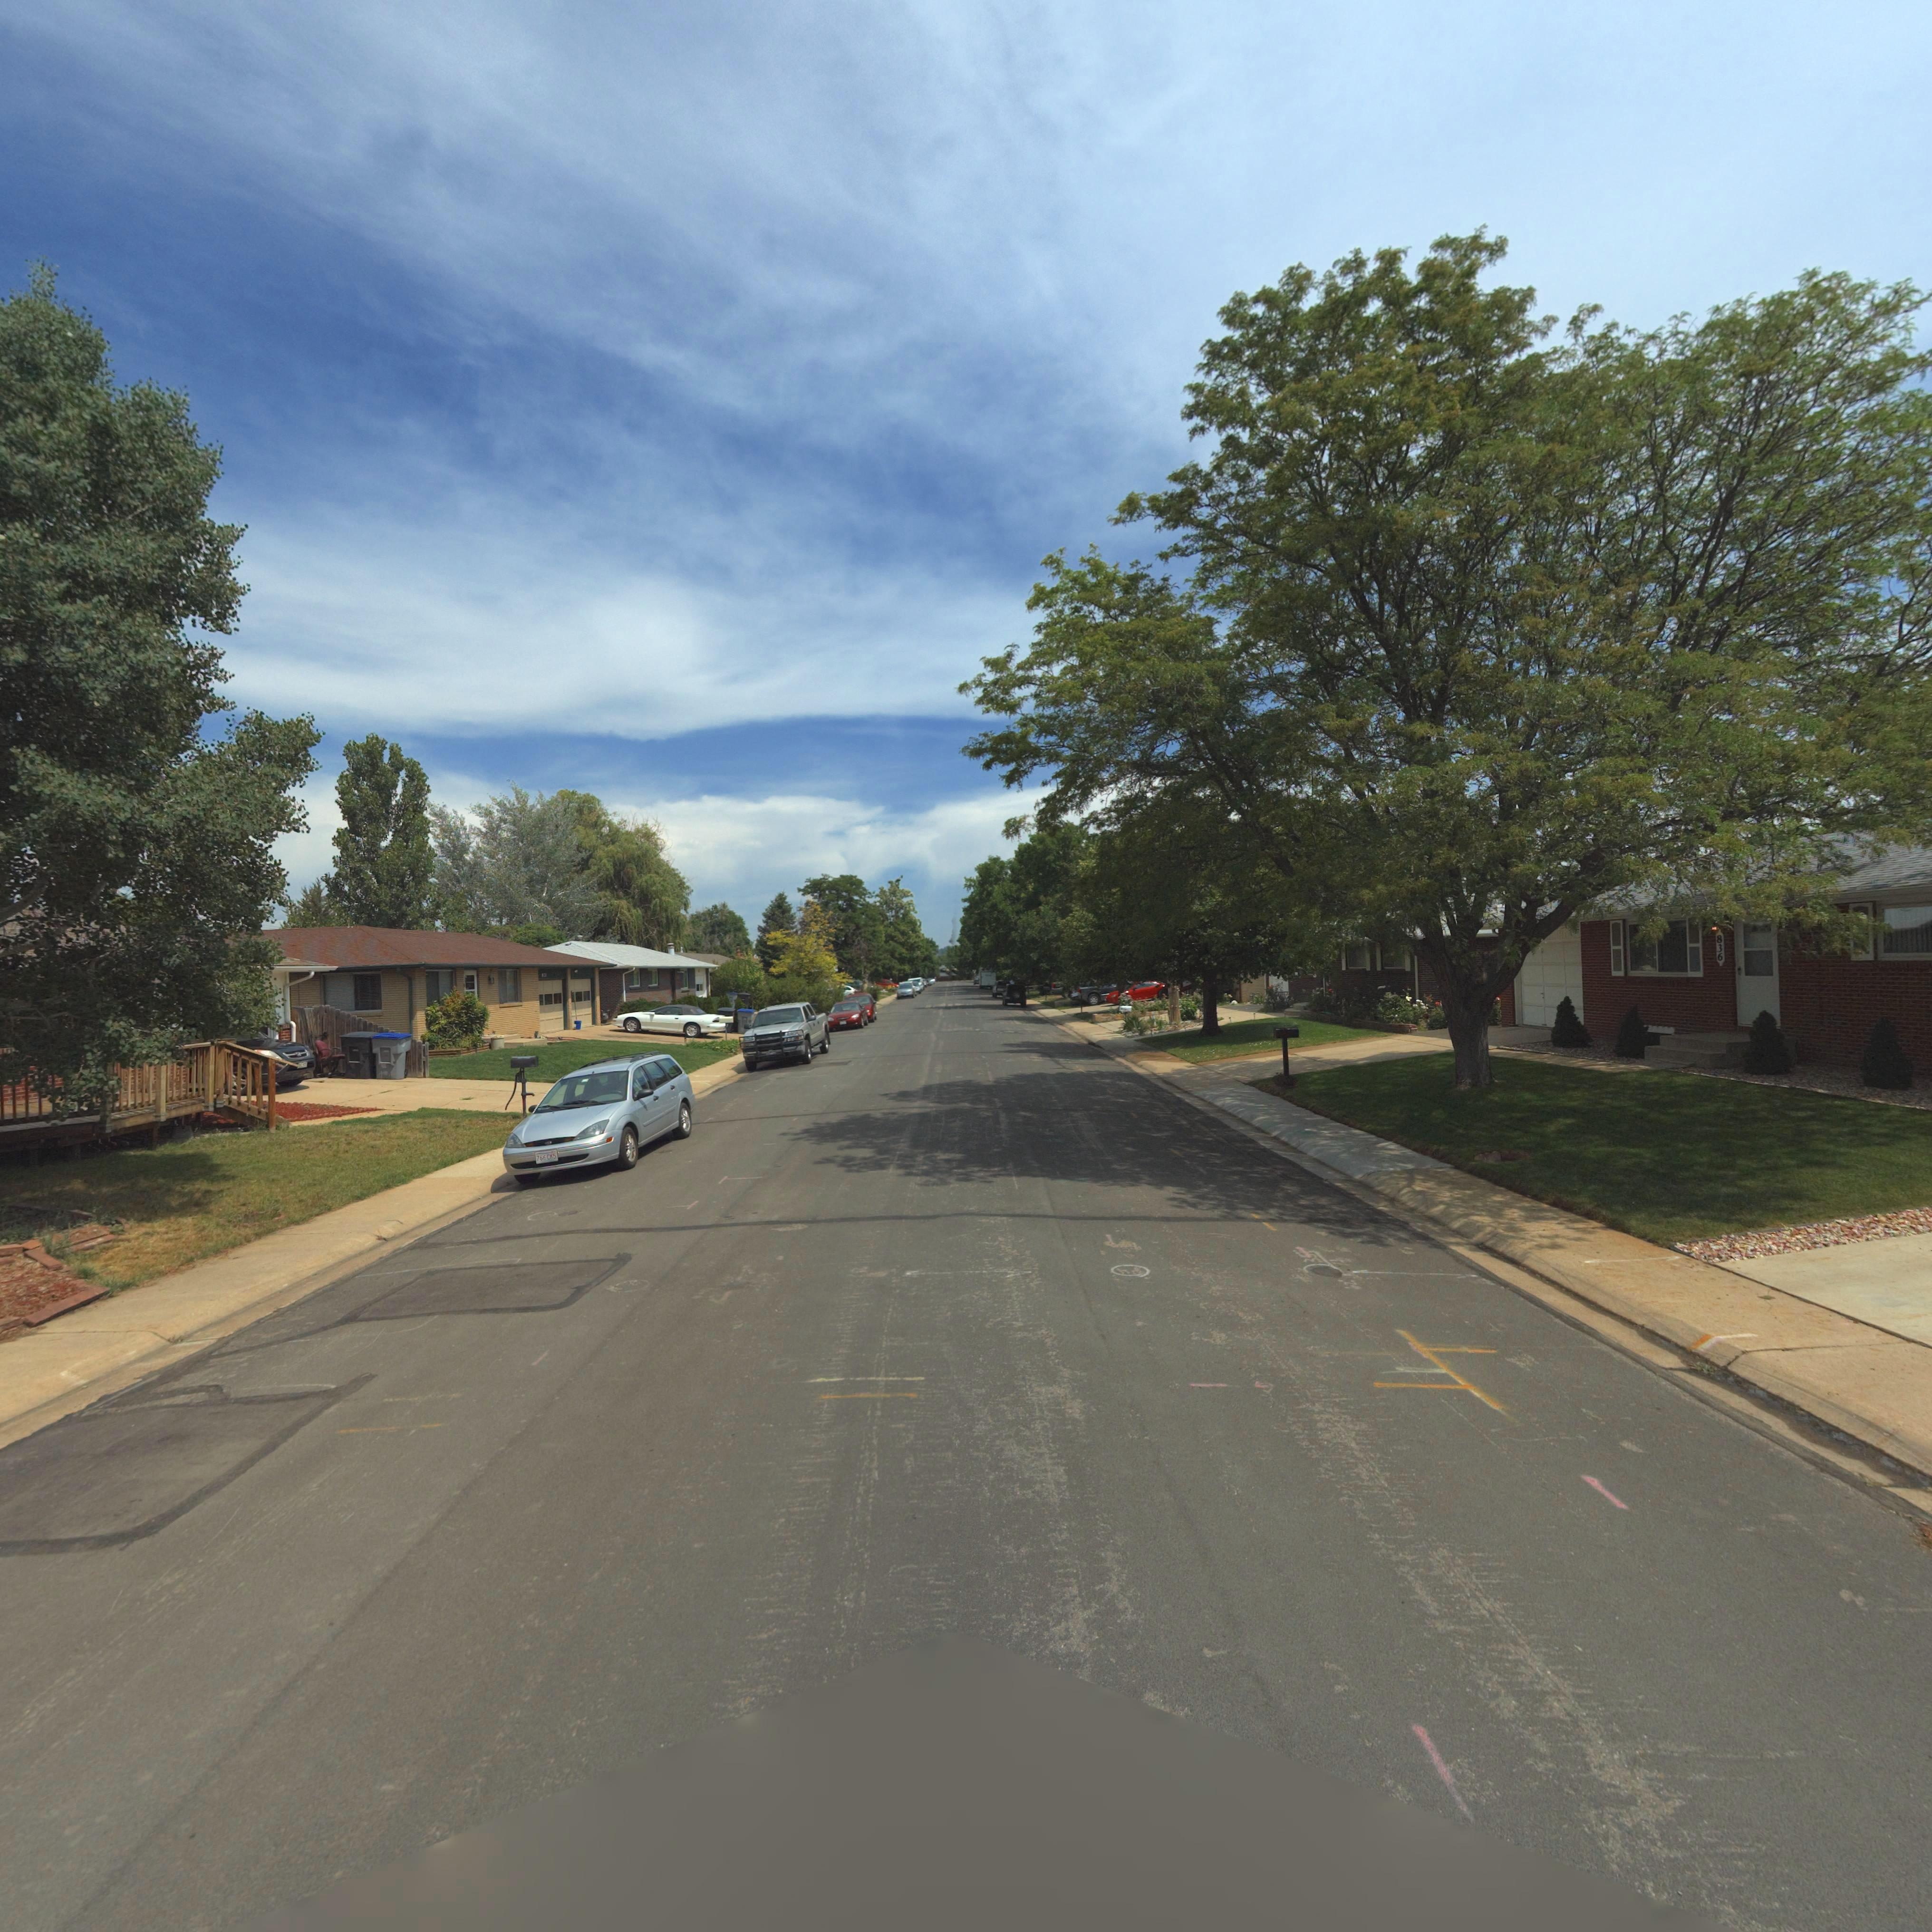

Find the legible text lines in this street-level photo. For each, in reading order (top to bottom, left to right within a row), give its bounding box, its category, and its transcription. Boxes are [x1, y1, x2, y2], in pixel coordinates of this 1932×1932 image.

[1716, 935, 1723, 961] StreetNumber: 836